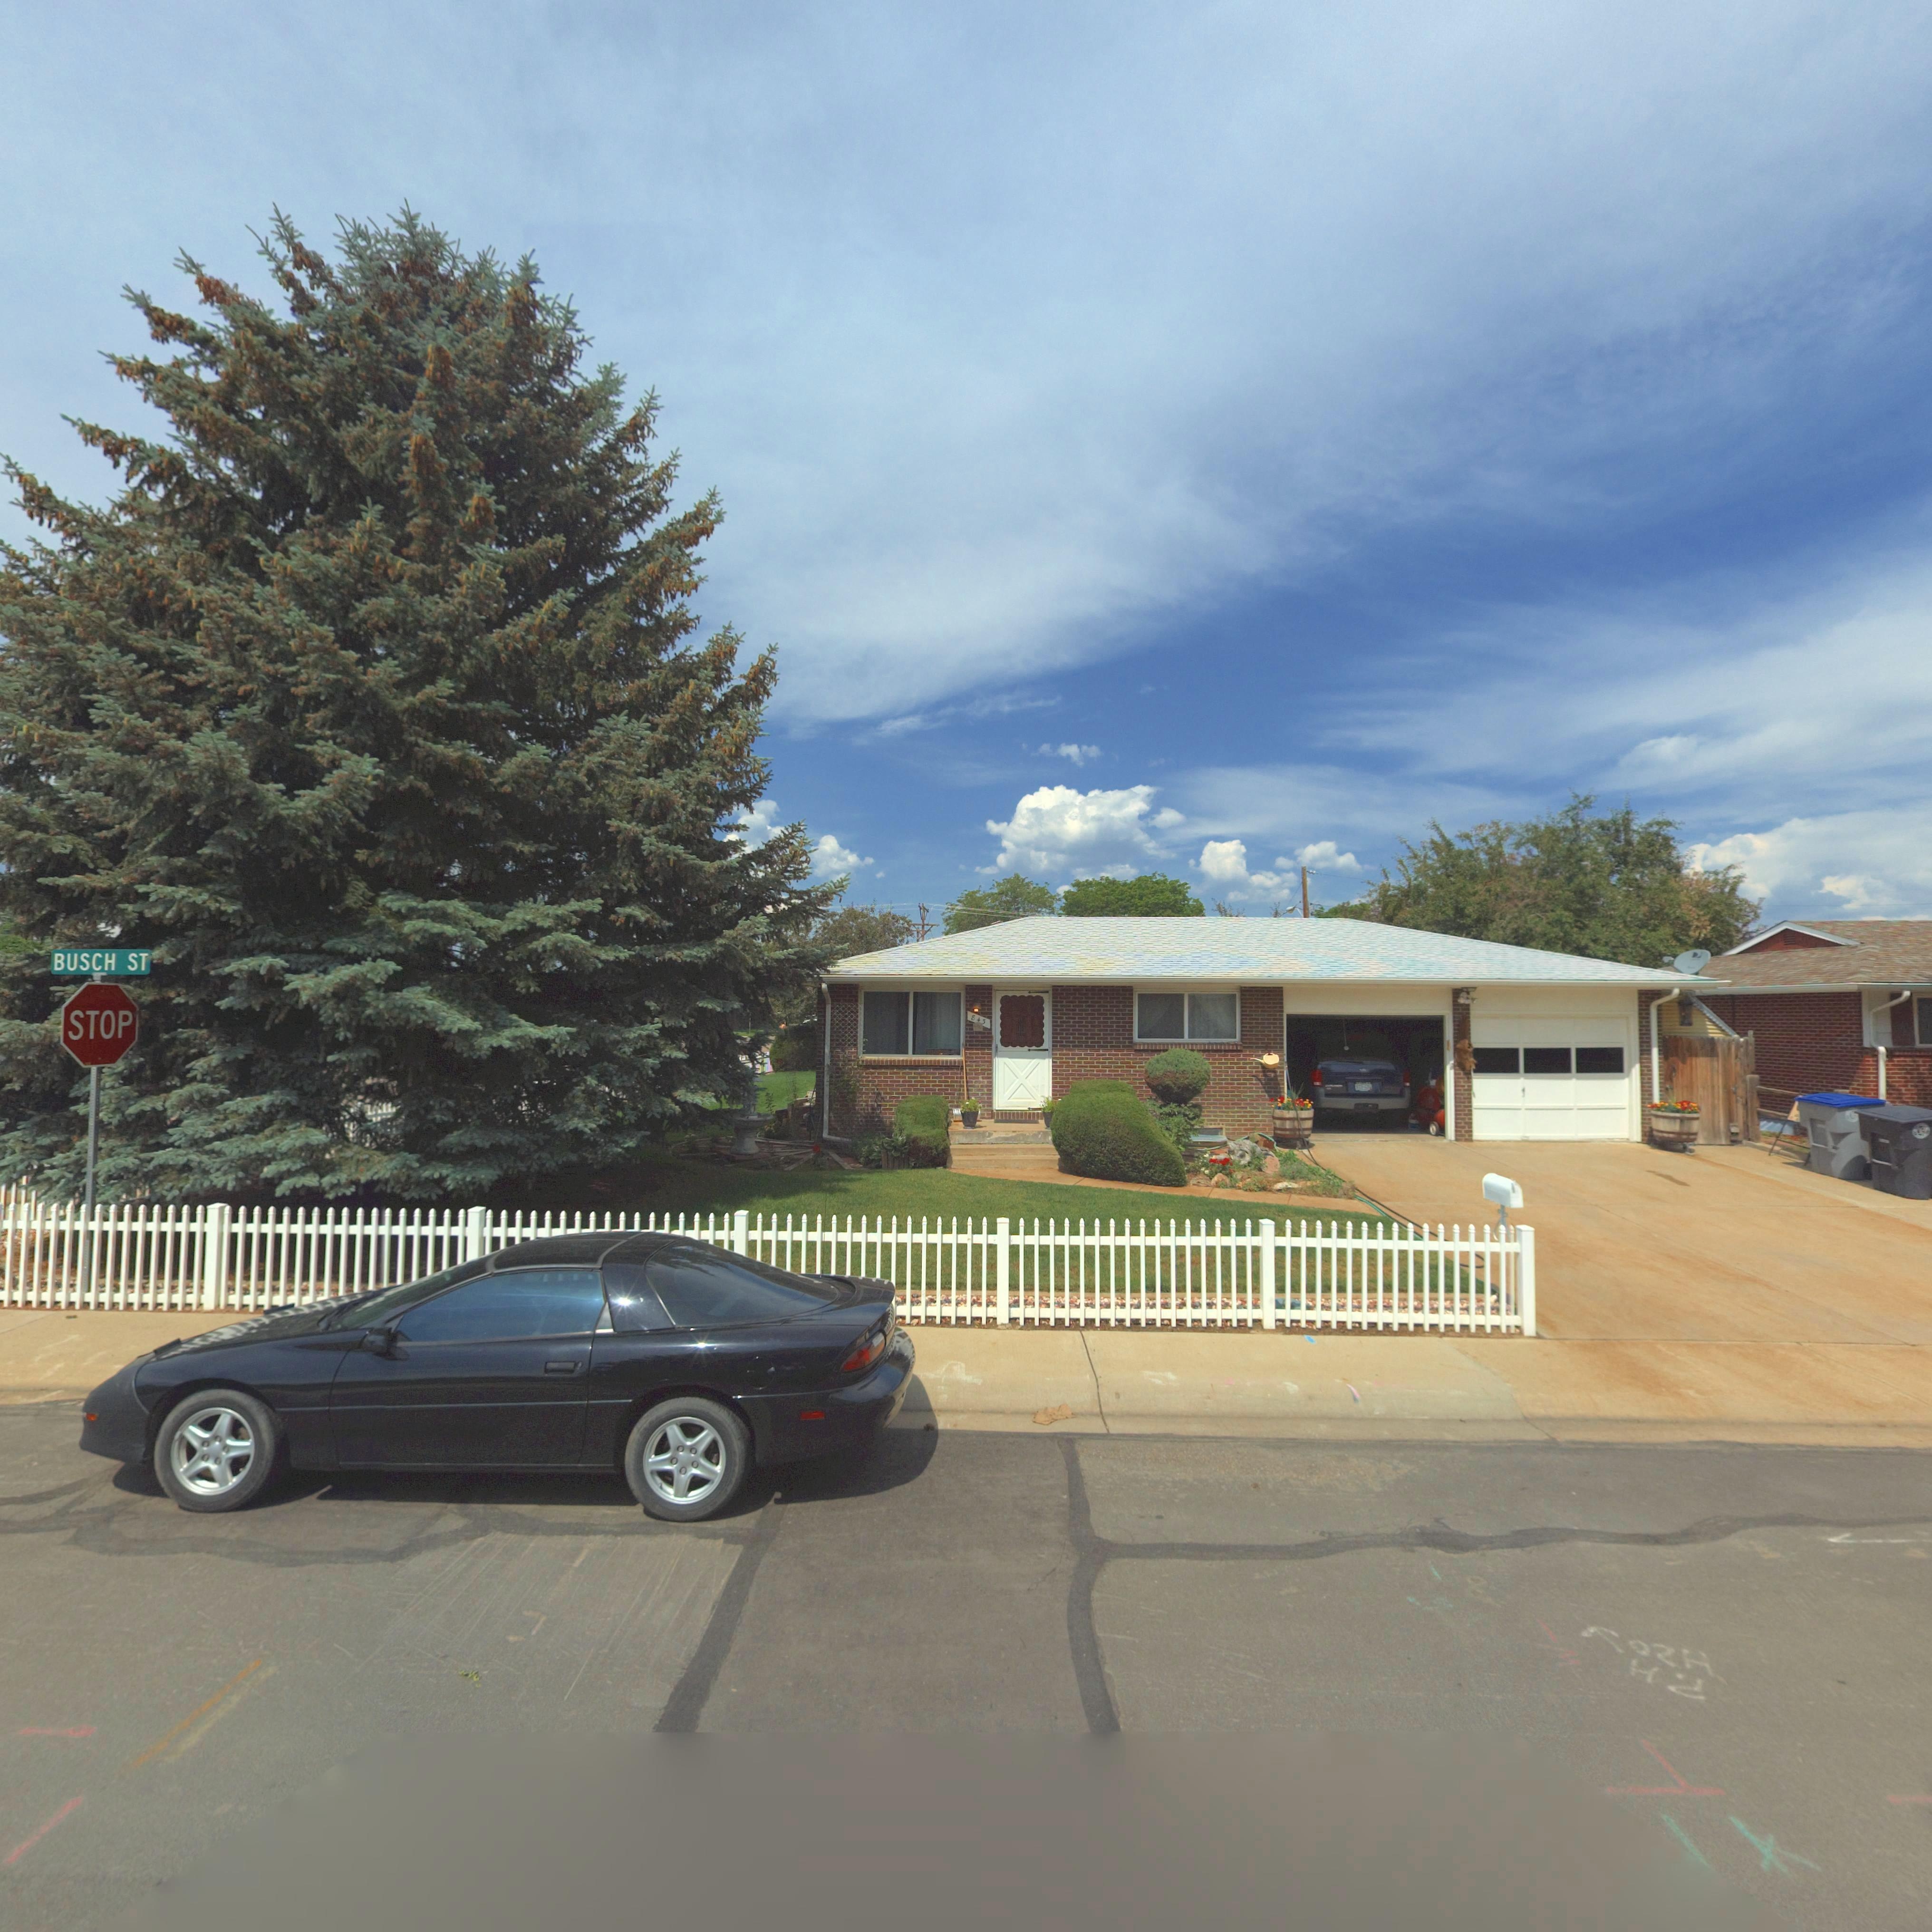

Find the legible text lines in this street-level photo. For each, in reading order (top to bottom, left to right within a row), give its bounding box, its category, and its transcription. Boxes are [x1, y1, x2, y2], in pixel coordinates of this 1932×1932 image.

[52, 952, 149, 972] StreetName: BUSCH ST
[970, 1014, 986, 1024] StreetNumber: 843